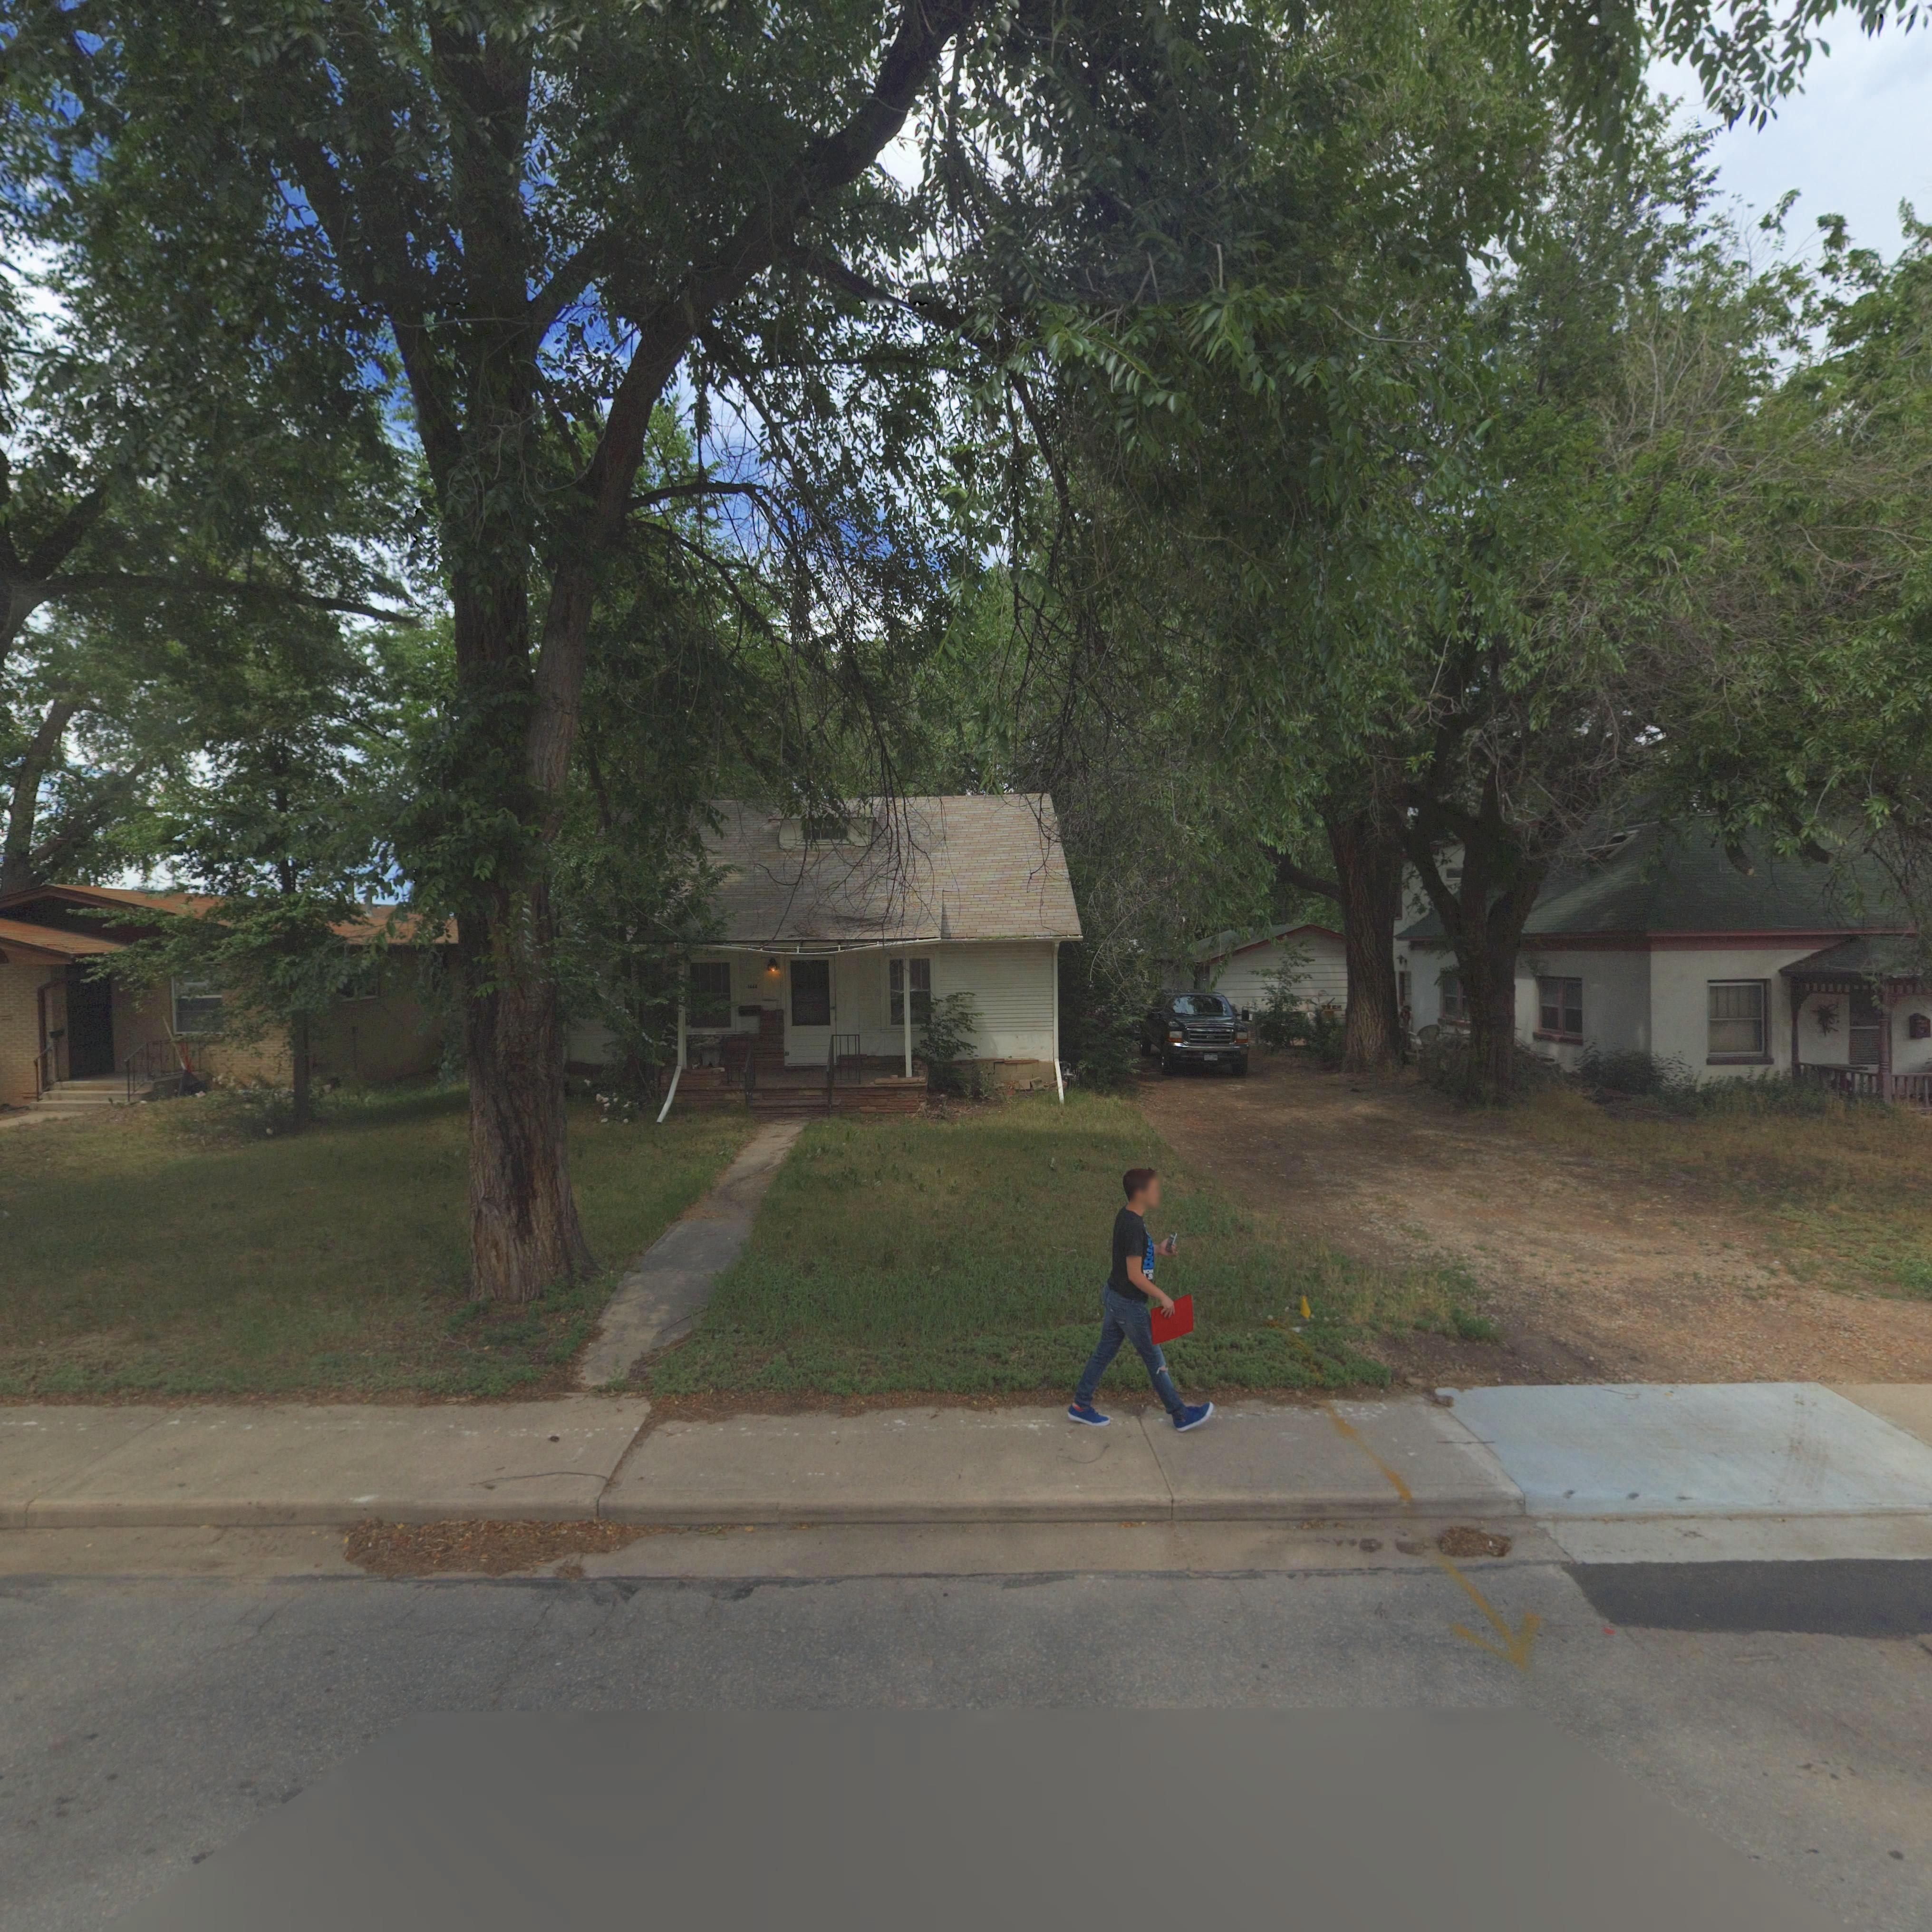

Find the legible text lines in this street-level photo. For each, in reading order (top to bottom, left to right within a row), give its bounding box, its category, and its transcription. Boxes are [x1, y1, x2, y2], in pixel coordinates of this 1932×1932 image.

[747, 984, 758, 989] StreetNumber: 1444